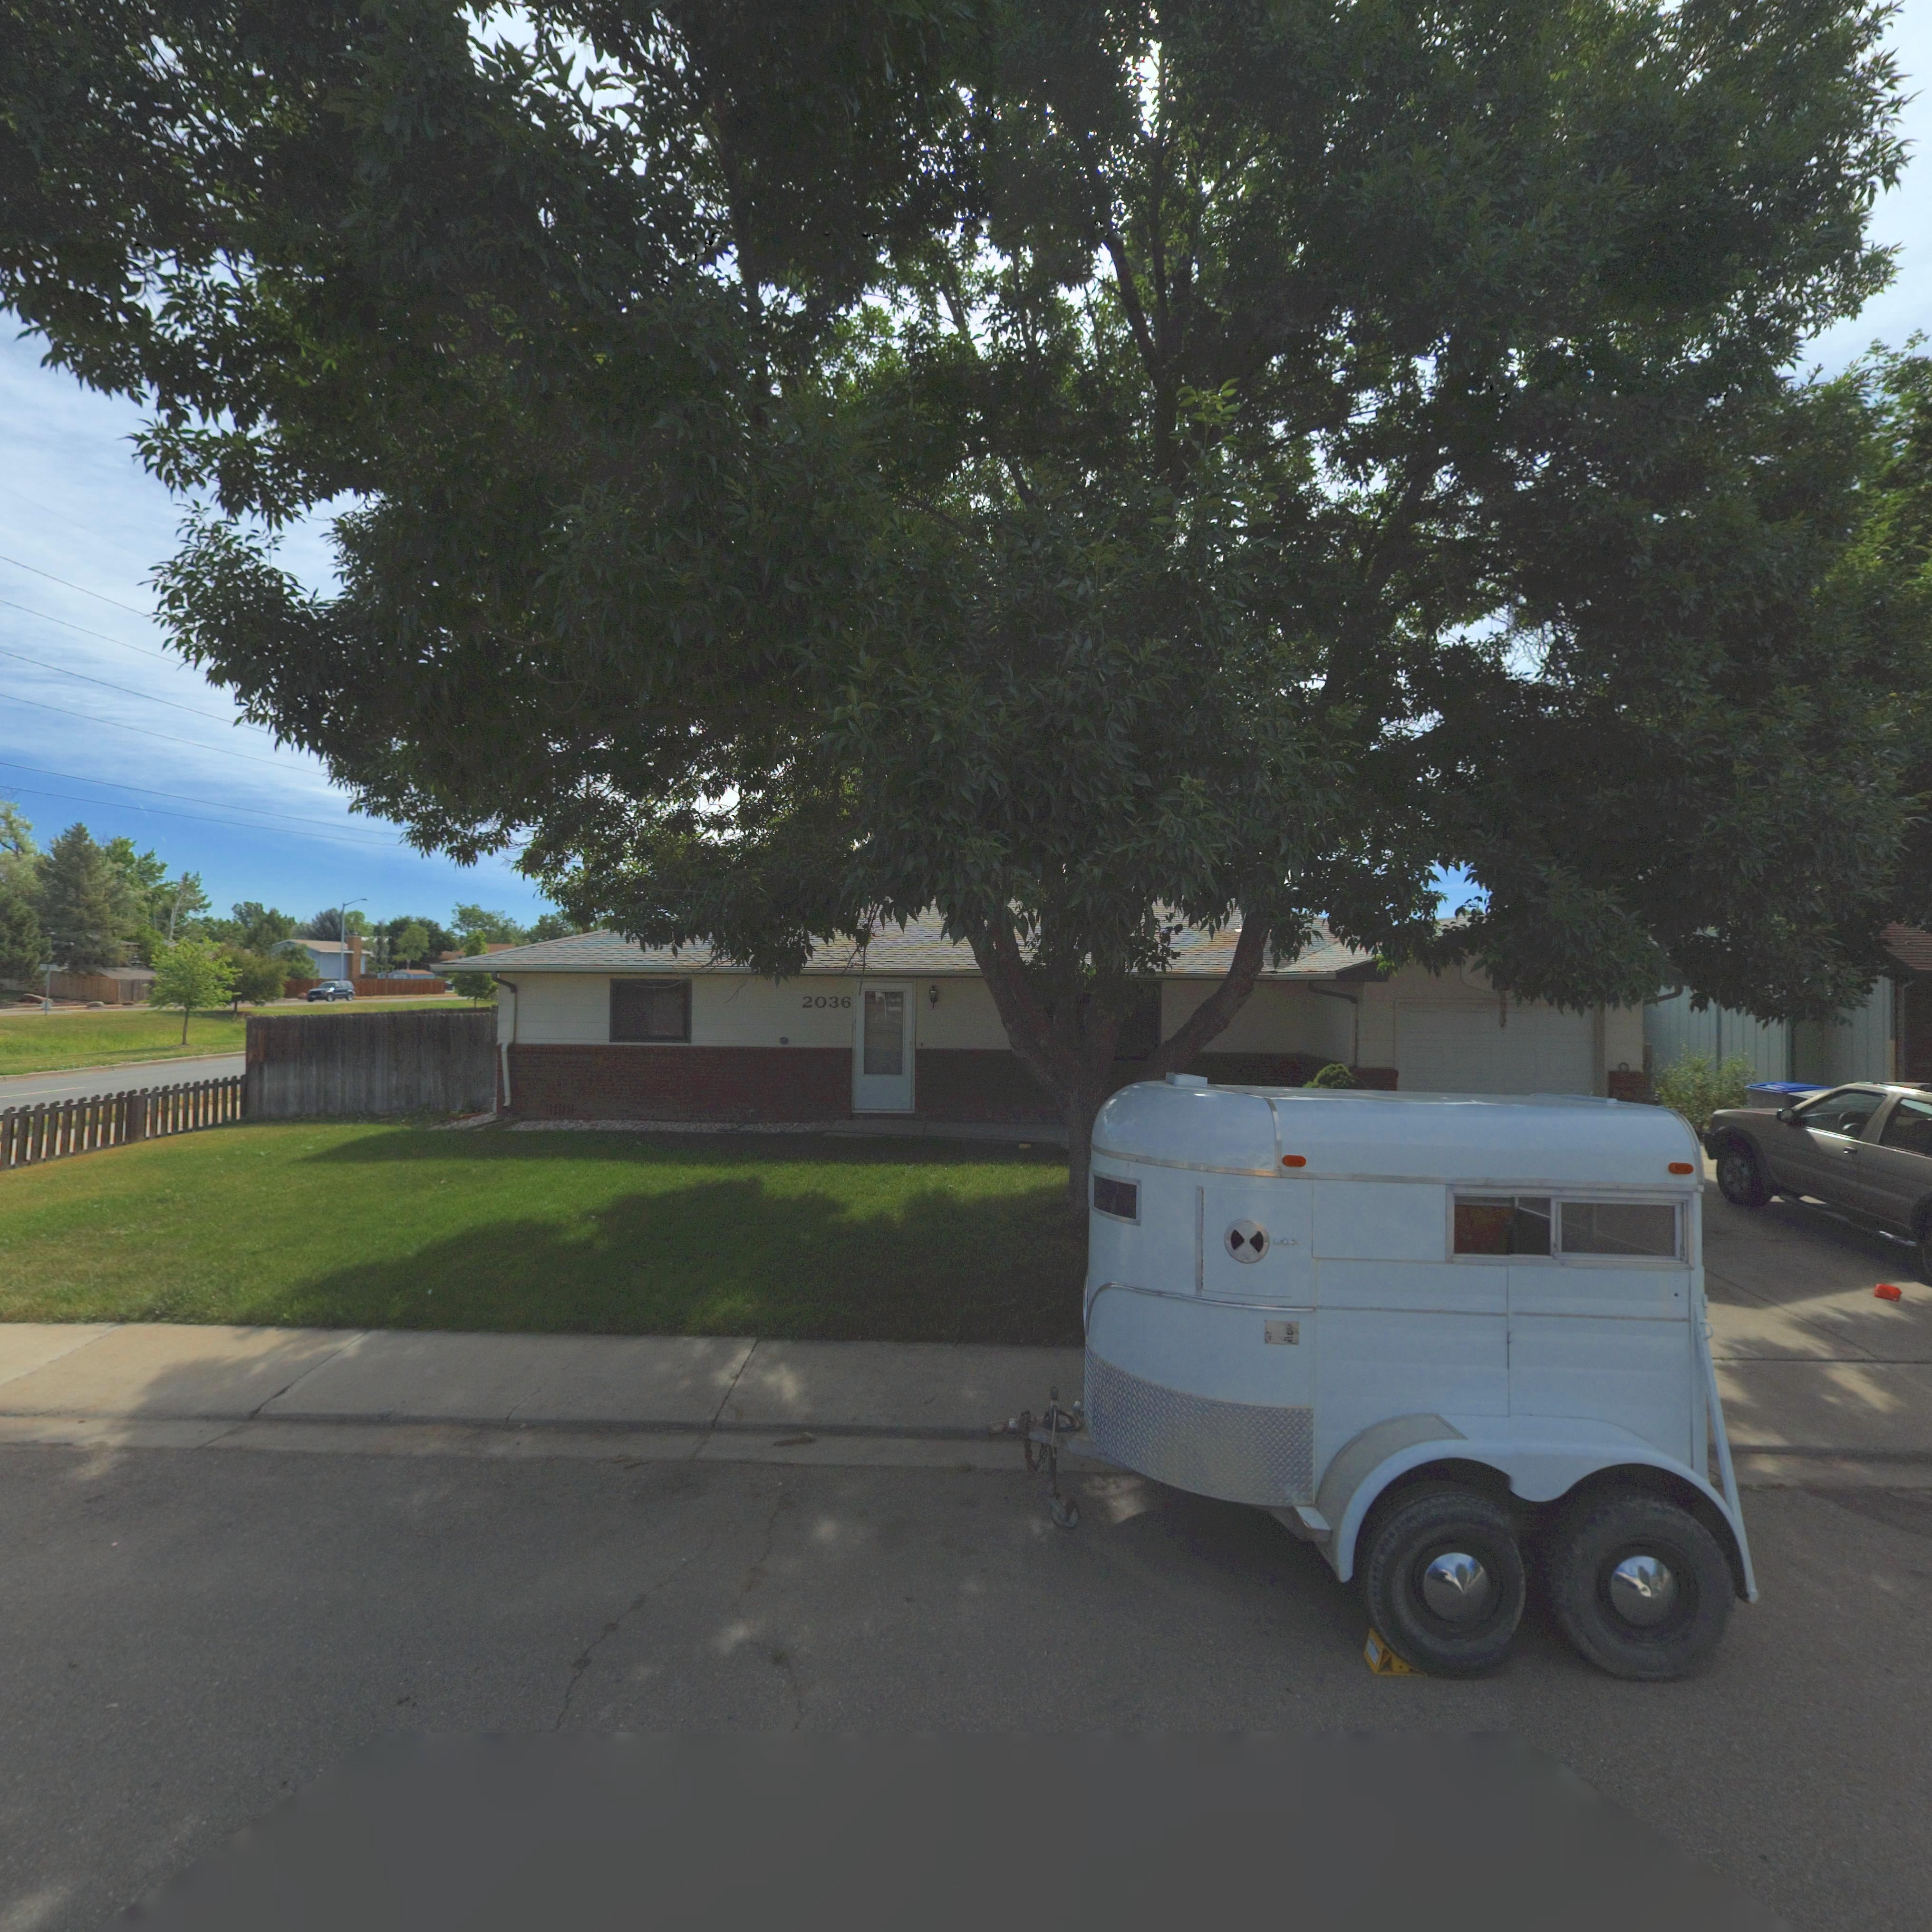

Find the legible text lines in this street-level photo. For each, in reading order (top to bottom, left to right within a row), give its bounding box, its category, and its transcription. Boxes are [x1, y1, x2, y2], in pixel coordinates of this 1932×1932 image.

[802, 995, 851, 1008] StreetNumber: 2036